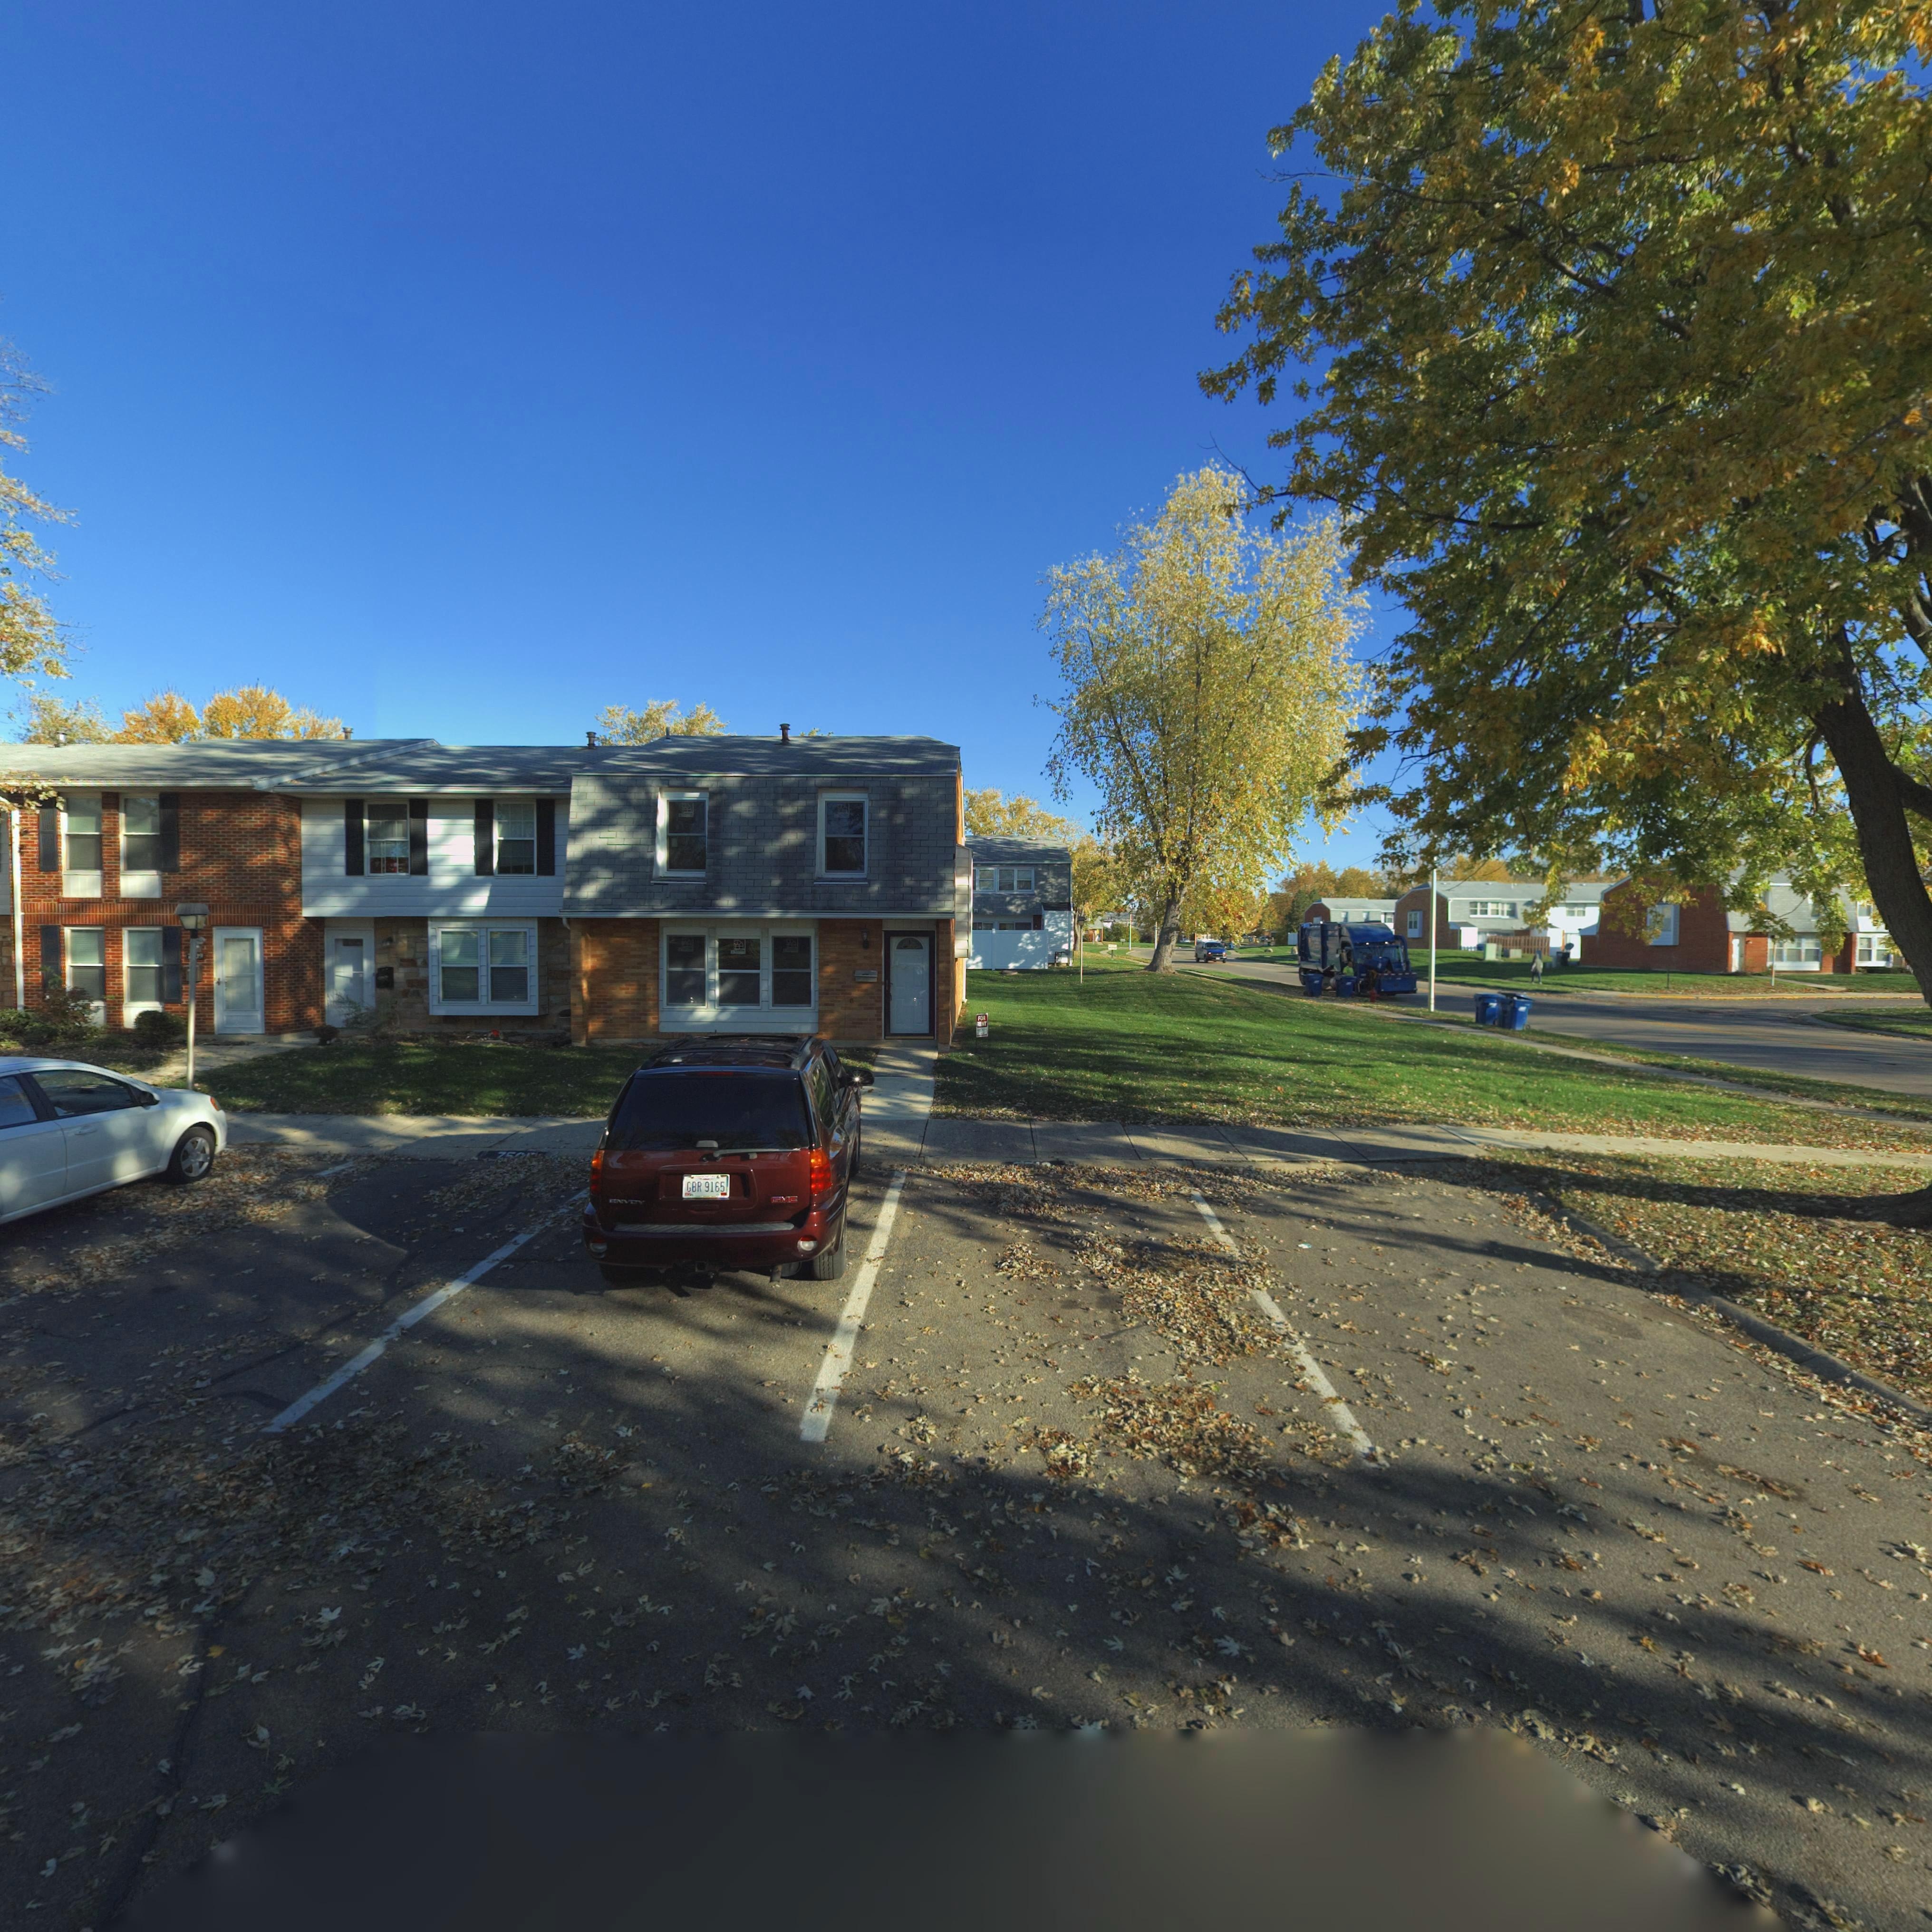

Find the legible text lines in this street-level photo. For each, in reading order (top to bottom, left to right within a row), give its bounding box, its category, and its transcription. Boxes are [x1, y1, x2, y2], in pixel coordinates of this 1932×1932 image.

[976, 1014, 986, 1021] None: FOR
[976, 1019, 987, 1027] None: RENT
[496, 1151, 517, 1160] StreetNumber: 7*
[685, 1179, 725, 1193] None: GBR 9165